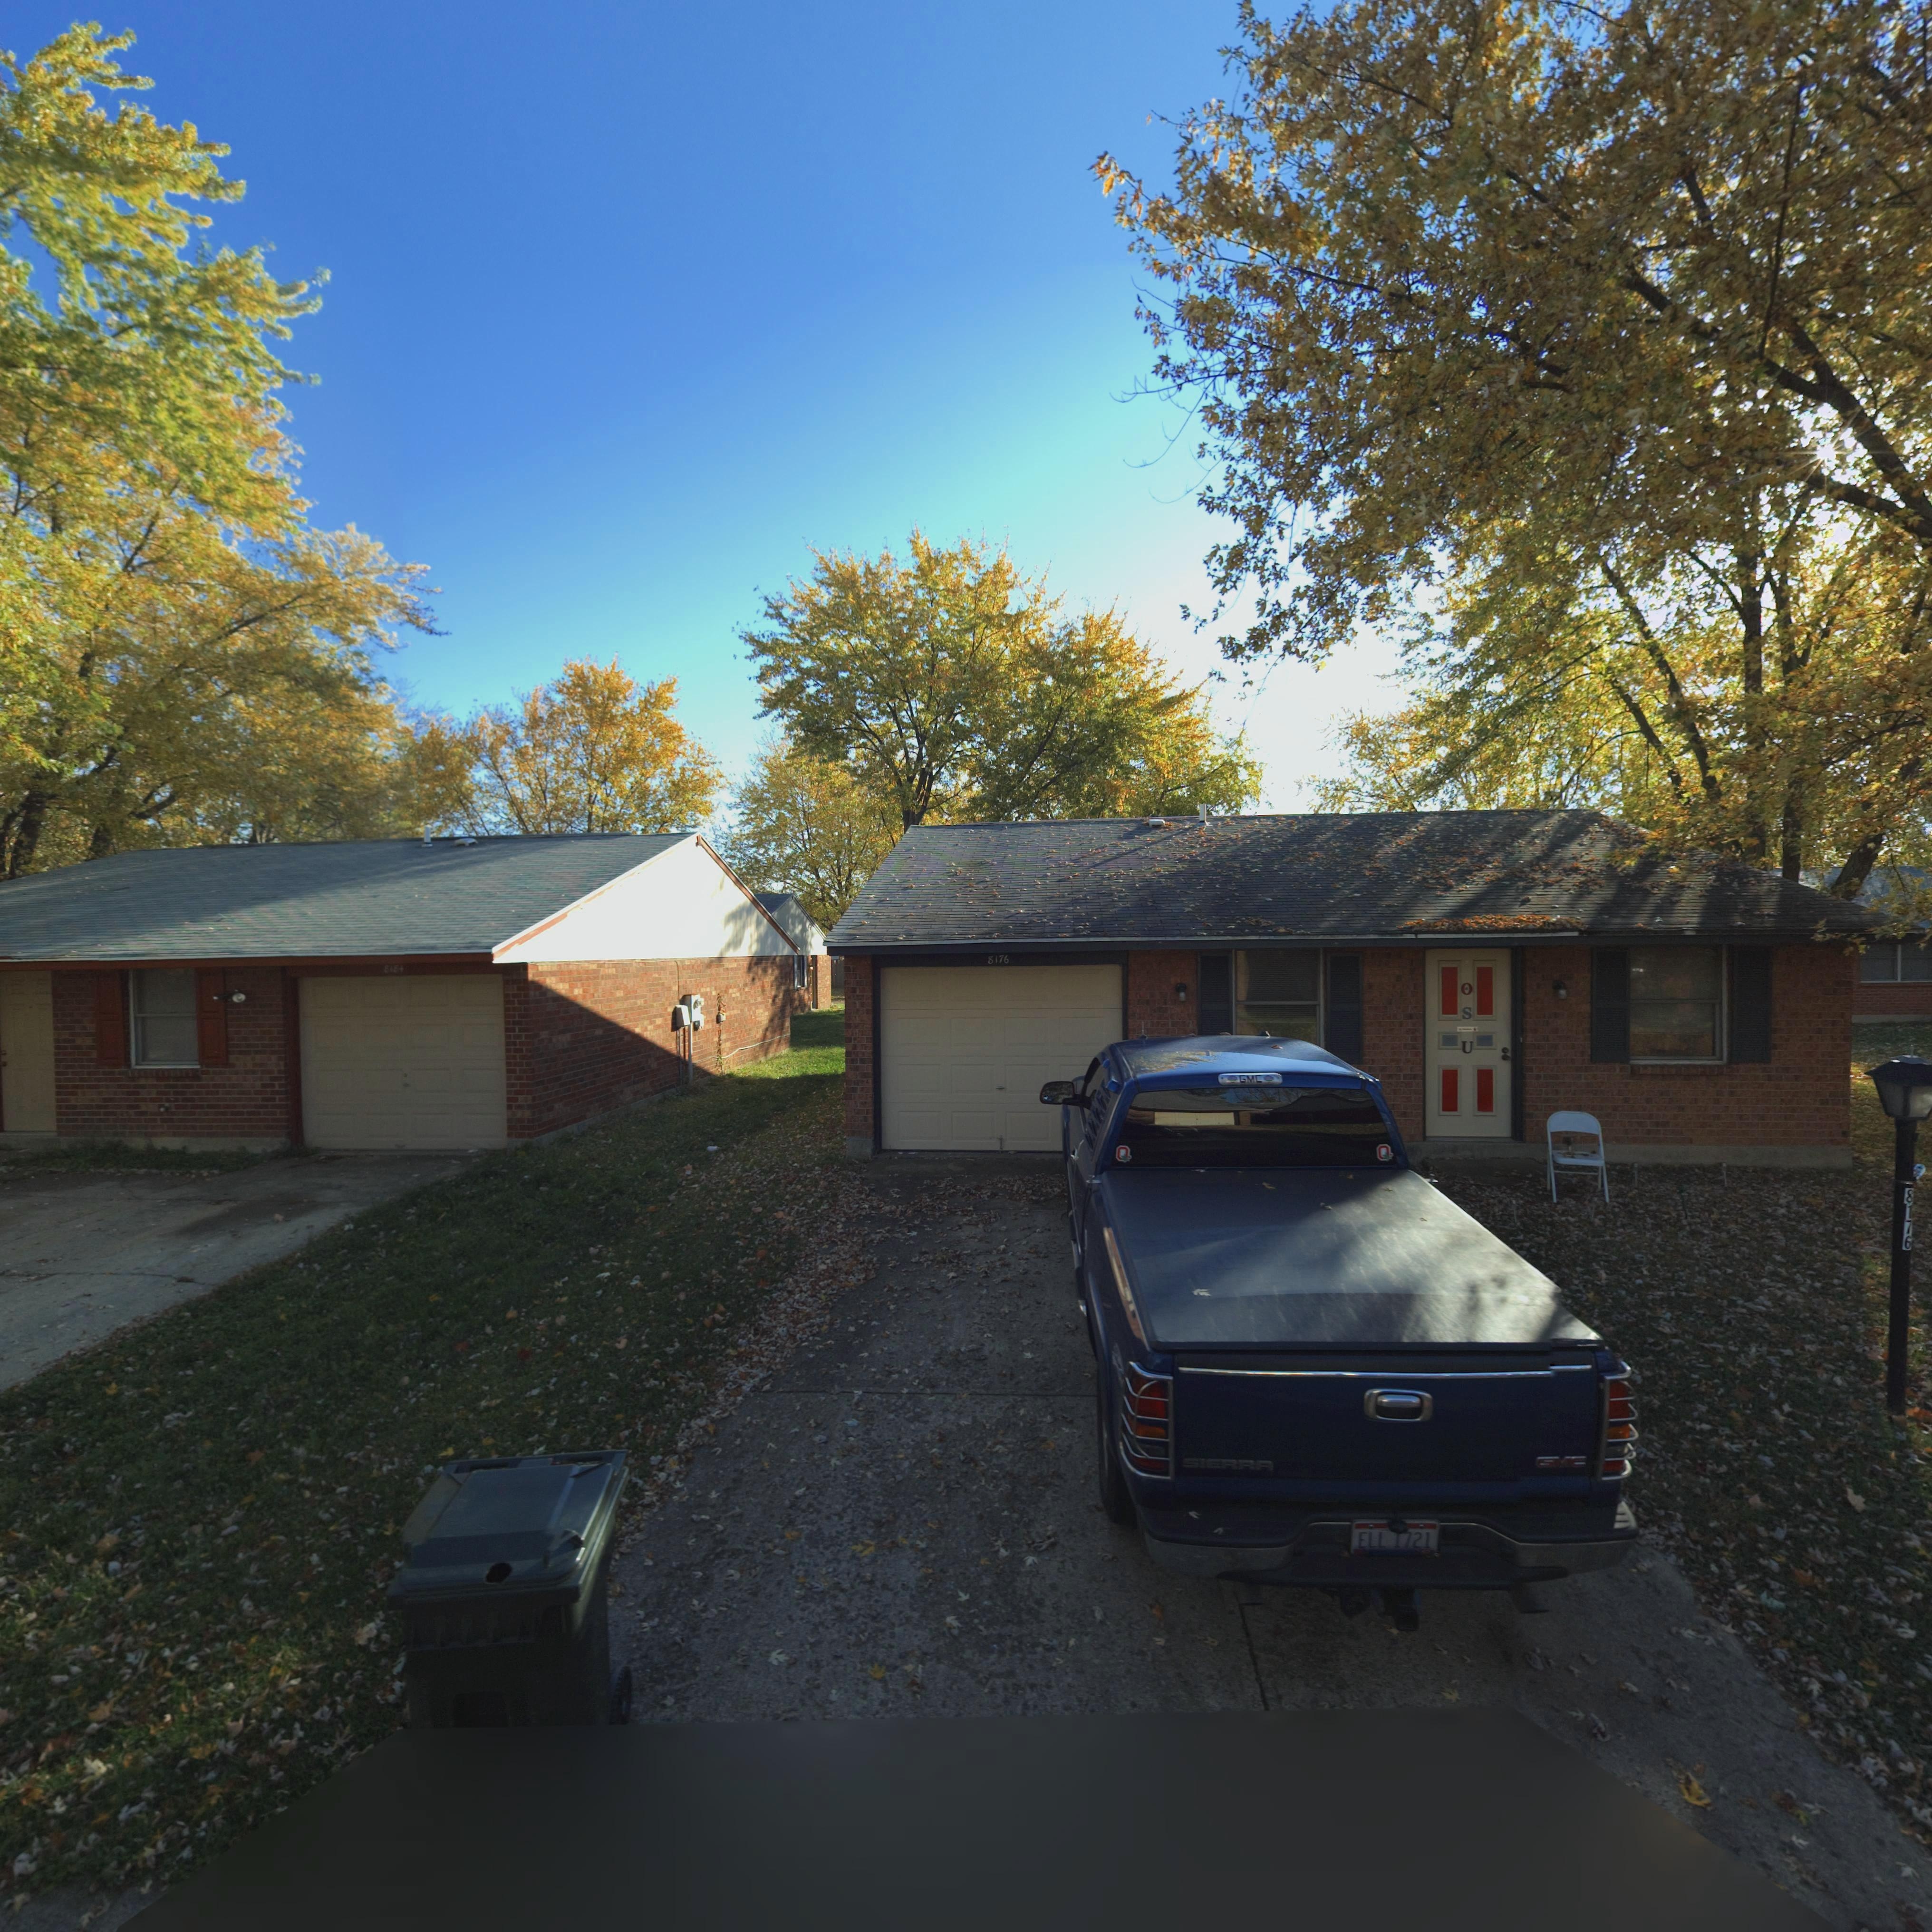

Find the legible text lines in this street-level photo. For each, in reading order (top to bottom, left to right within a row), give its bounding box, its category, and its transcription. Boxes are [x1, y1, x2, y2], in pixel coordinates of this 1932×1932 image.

[987, 955, 1010, 964] StreetNumber: 8176
[383, 963, 405, 974] StreetNumber: 8184
[1904, 1188, 1914, 1250] StreetNumber: 8176